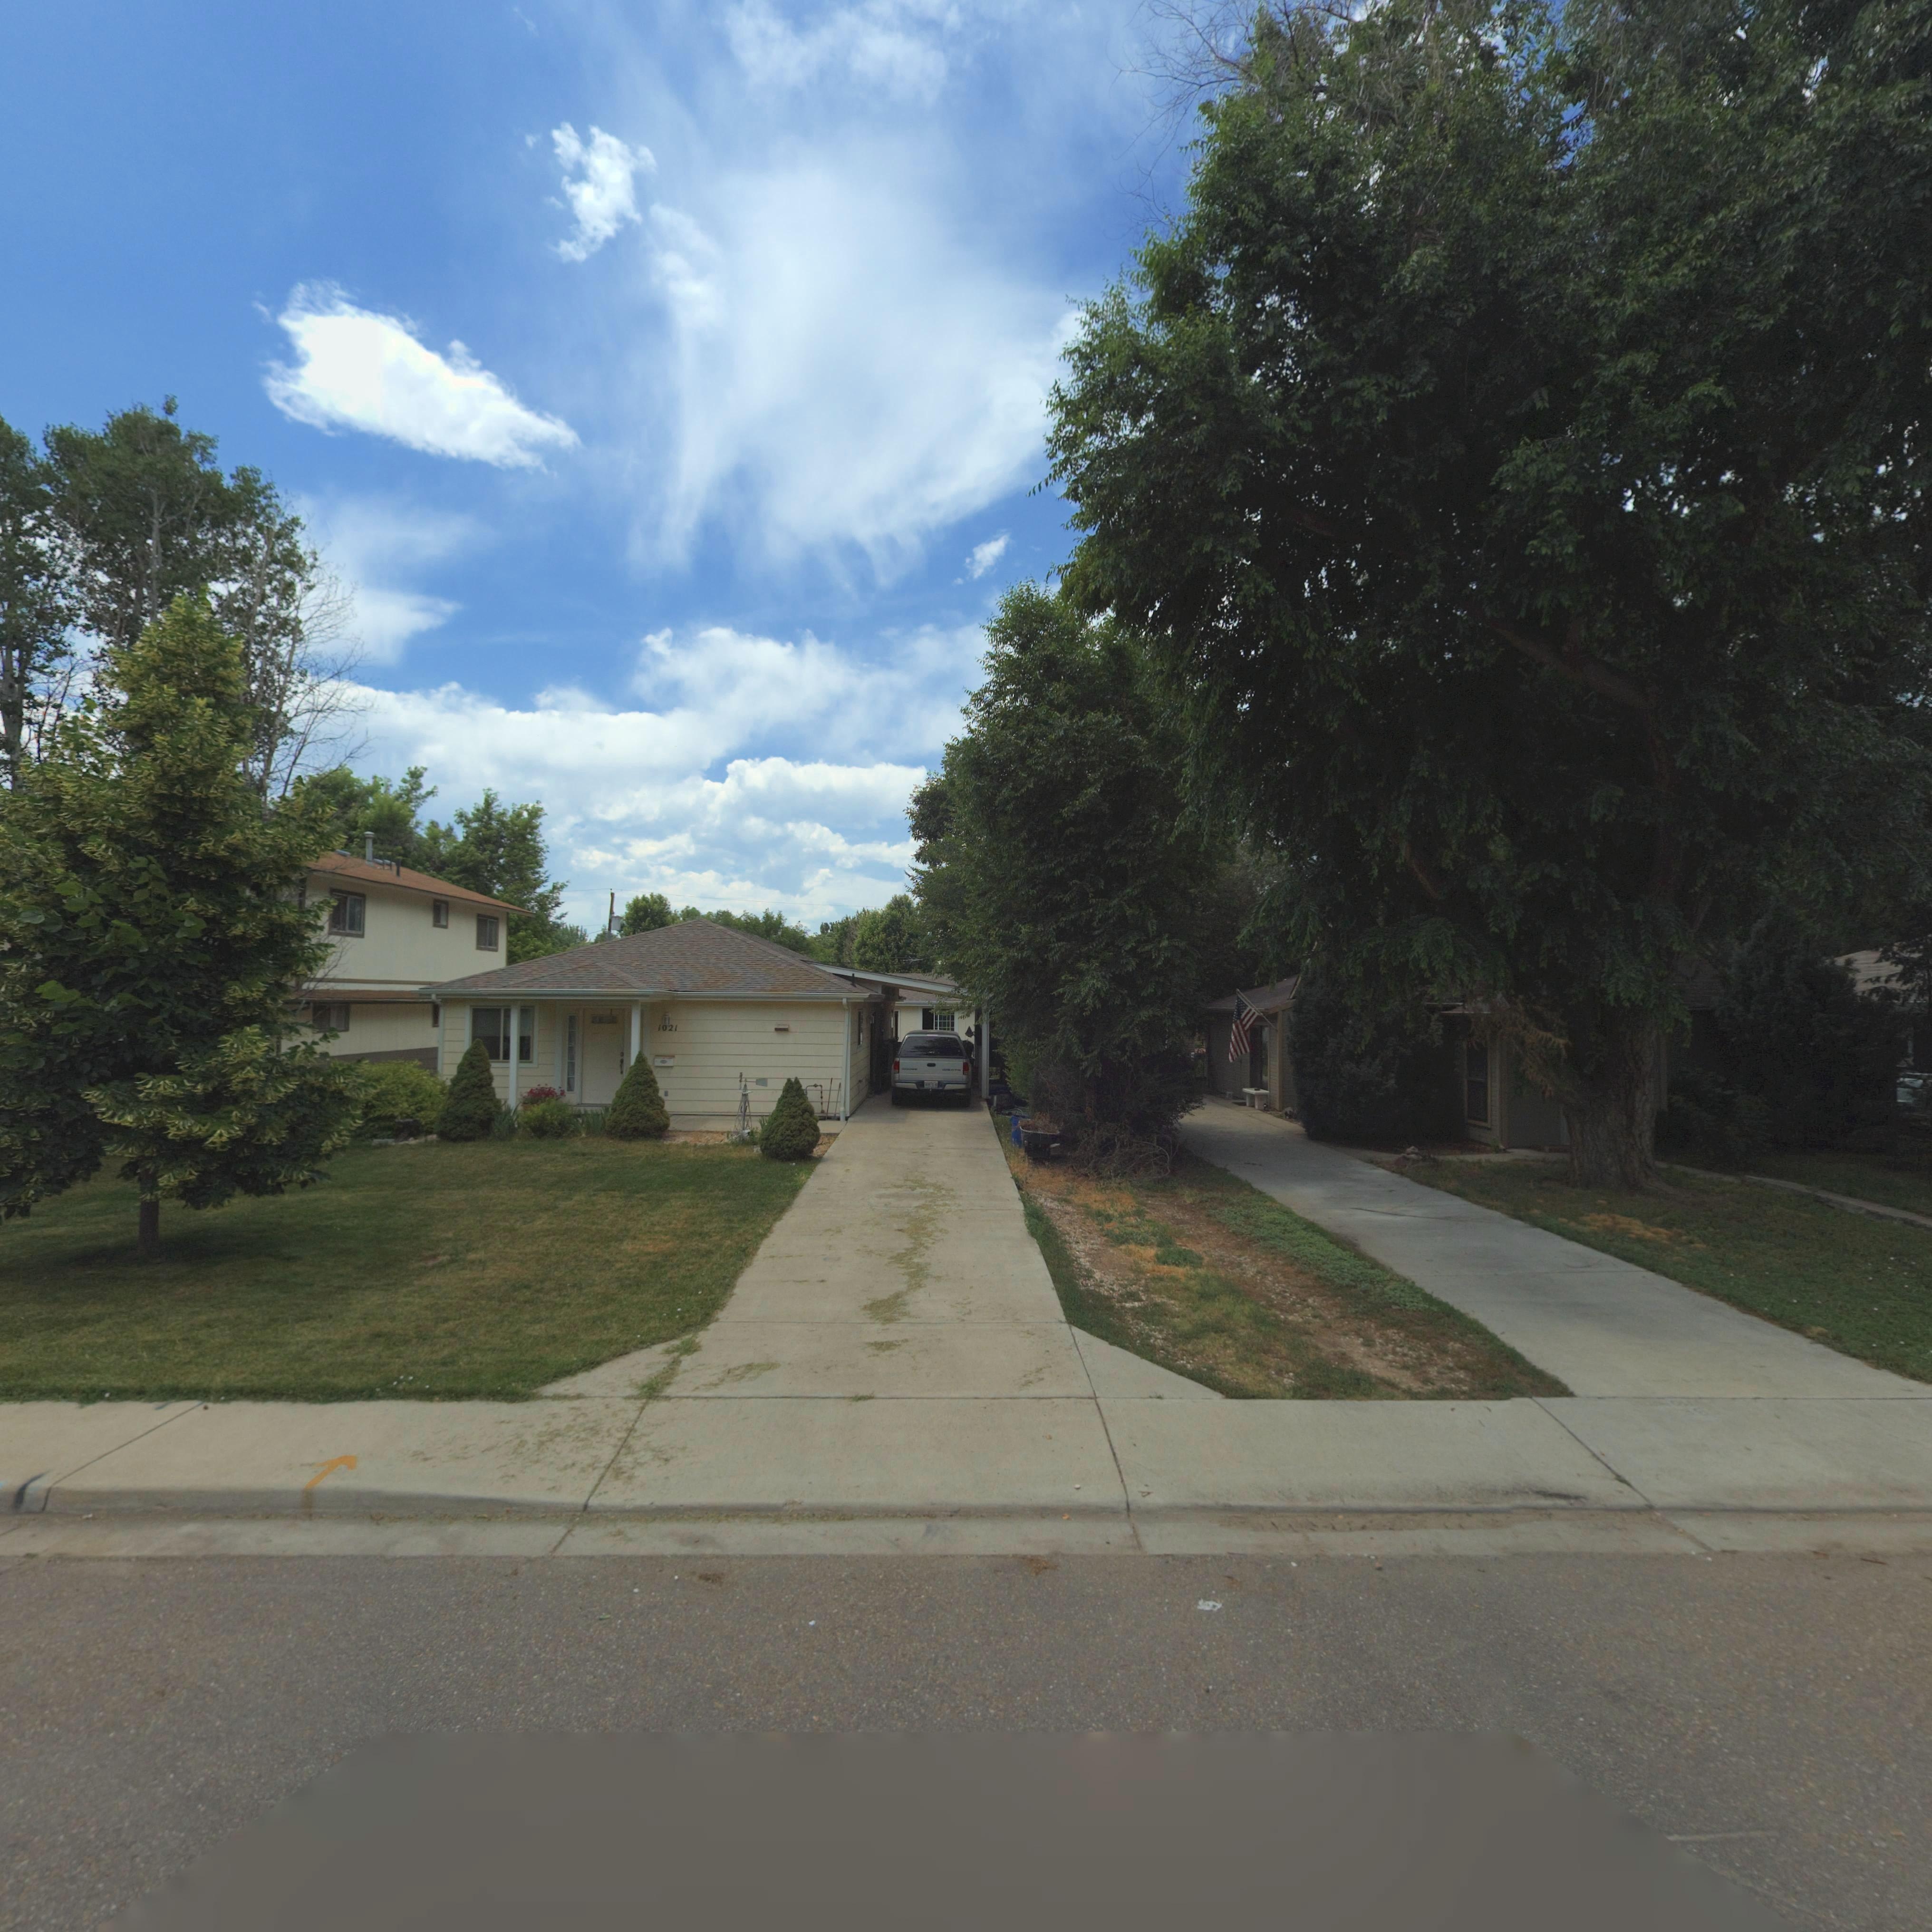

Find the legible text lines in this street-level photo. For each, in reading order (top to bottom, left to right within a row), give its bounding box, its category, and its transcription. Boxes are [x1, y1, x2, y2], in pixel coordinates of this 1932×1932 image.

[657, 1024, 678, 1032] StreetNumber: 1021